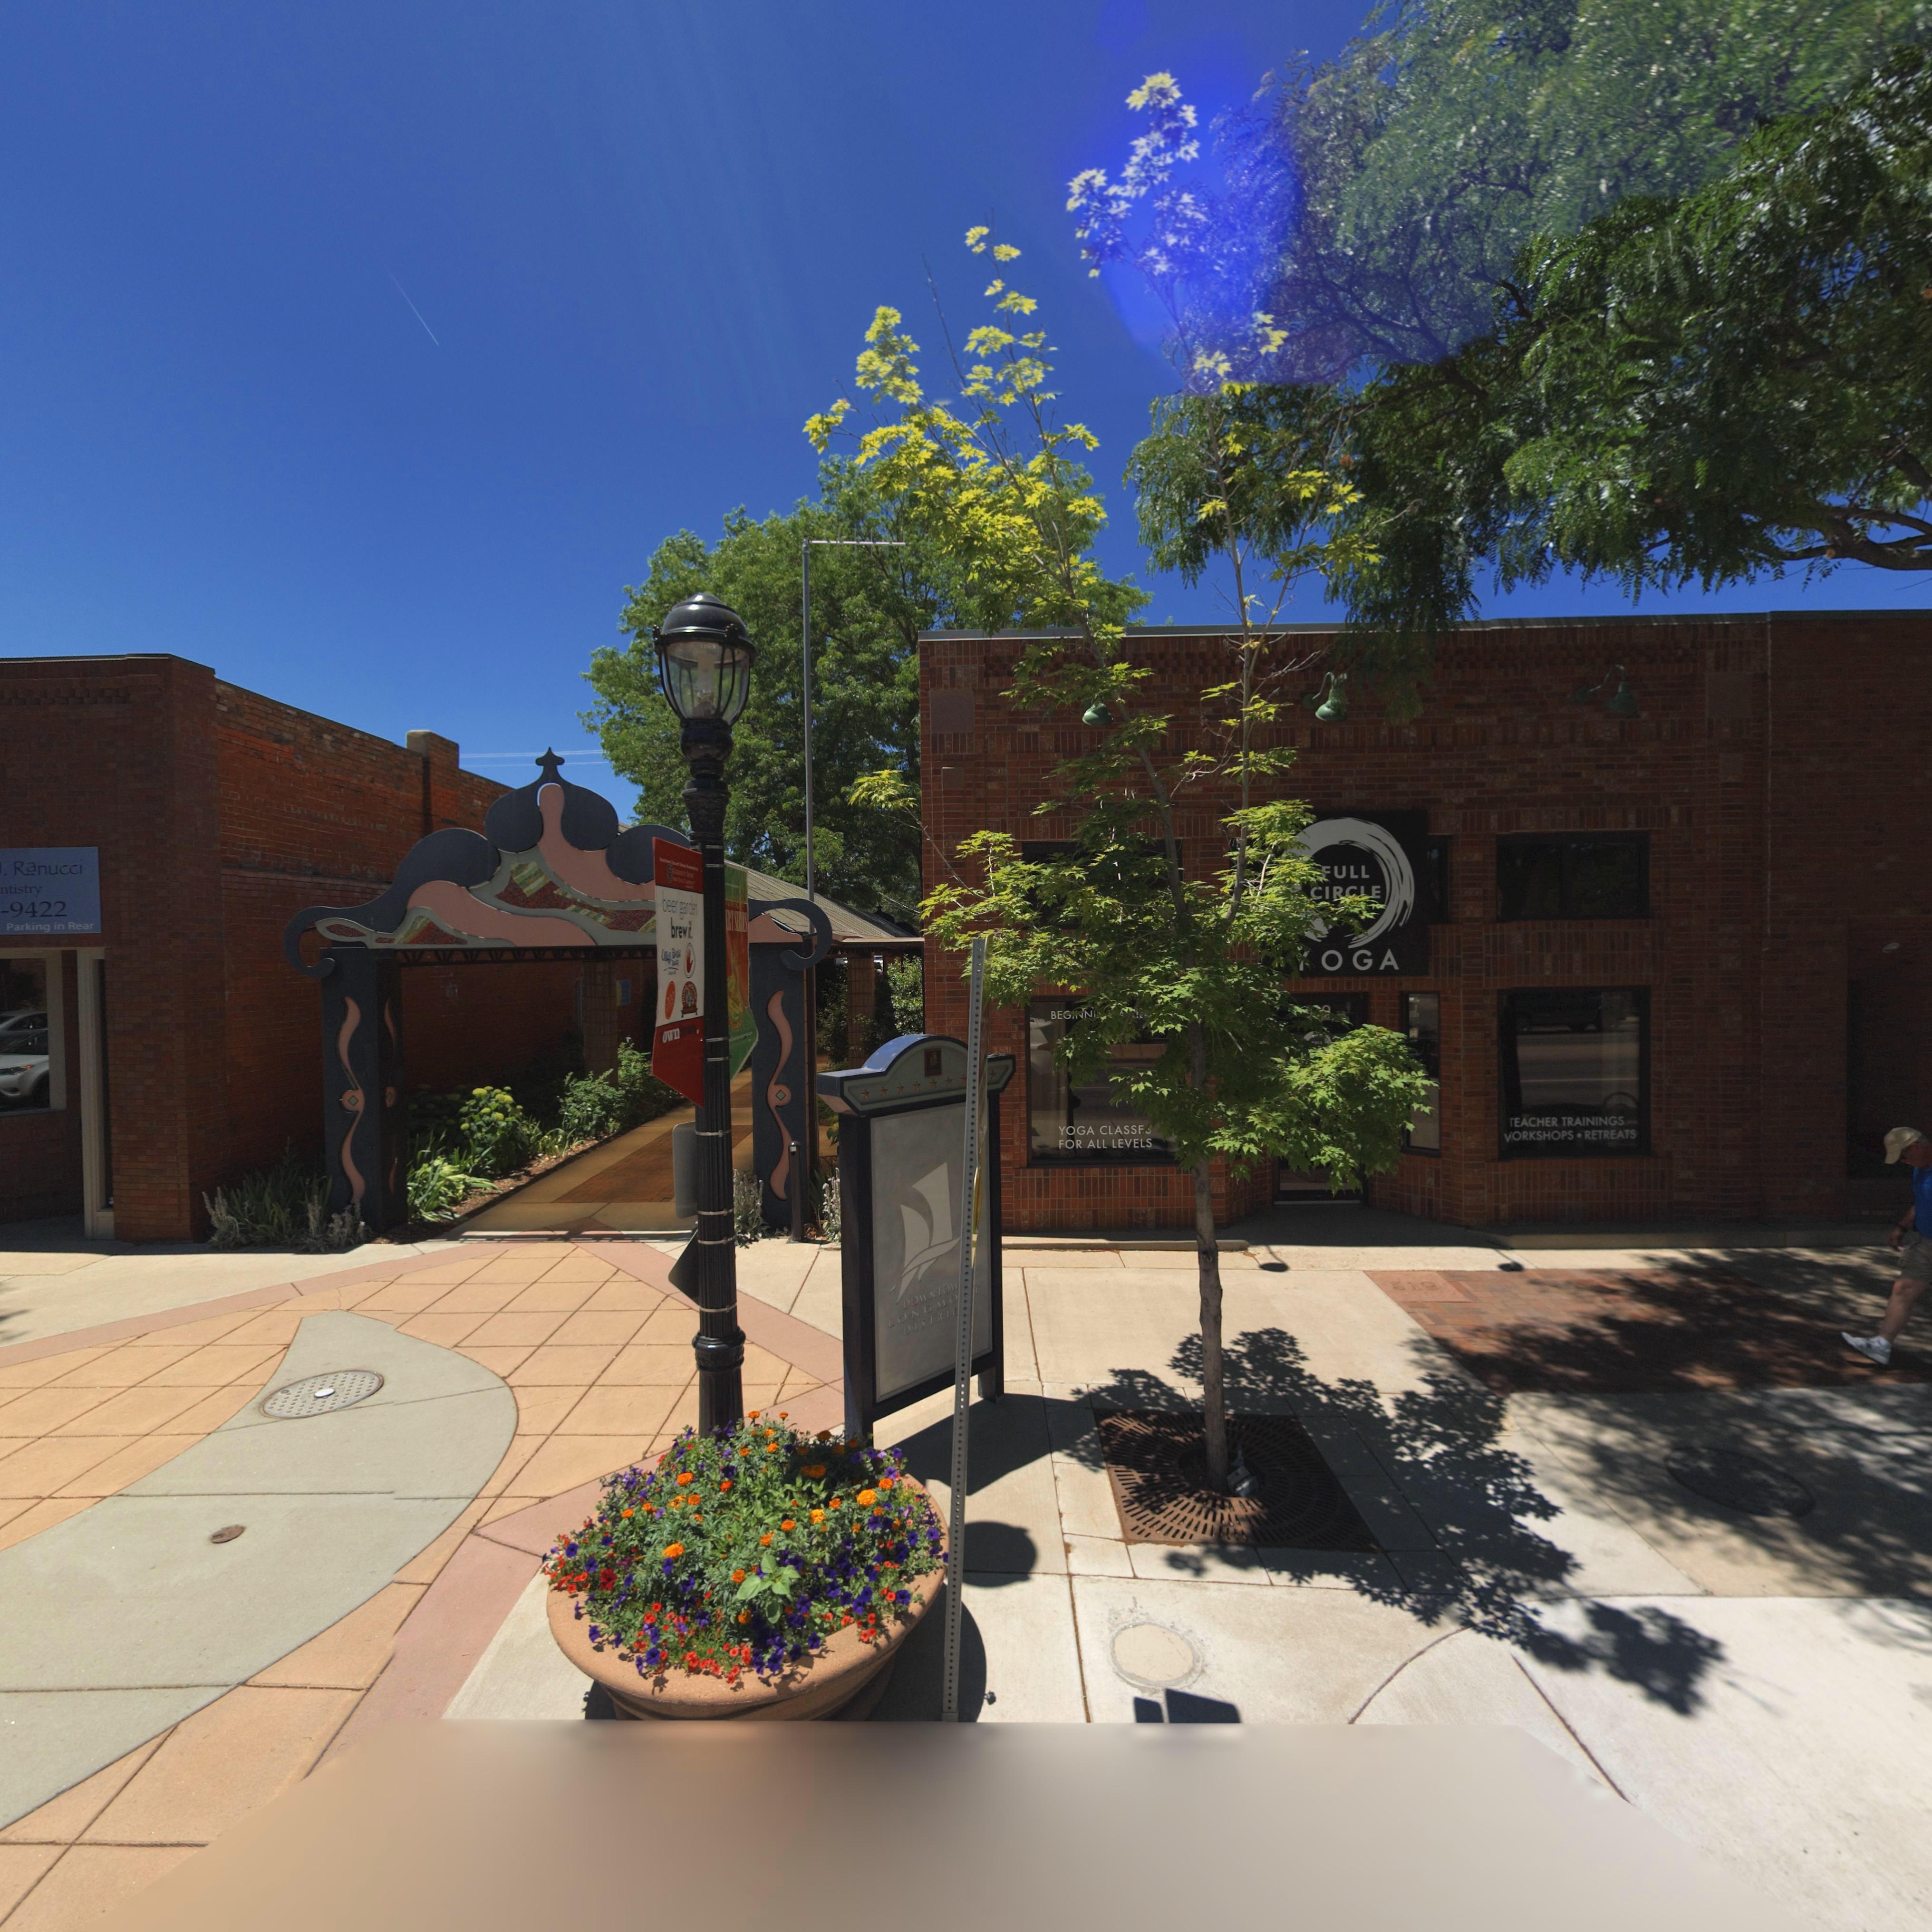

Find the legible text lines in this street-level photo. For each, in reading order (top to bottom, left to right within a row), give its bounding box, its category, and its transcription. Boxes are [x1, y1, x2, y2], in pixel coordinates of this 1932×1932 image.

[1319, 864, 1370, 880] BusinessName: *ULL
[1309, 885, 1381, 900] BusinessName: CIR**E
[1320, 947, 1400, 971] BusinessName: OGA
[1388, 1280, 1439, 1292] StreetNumber: 519